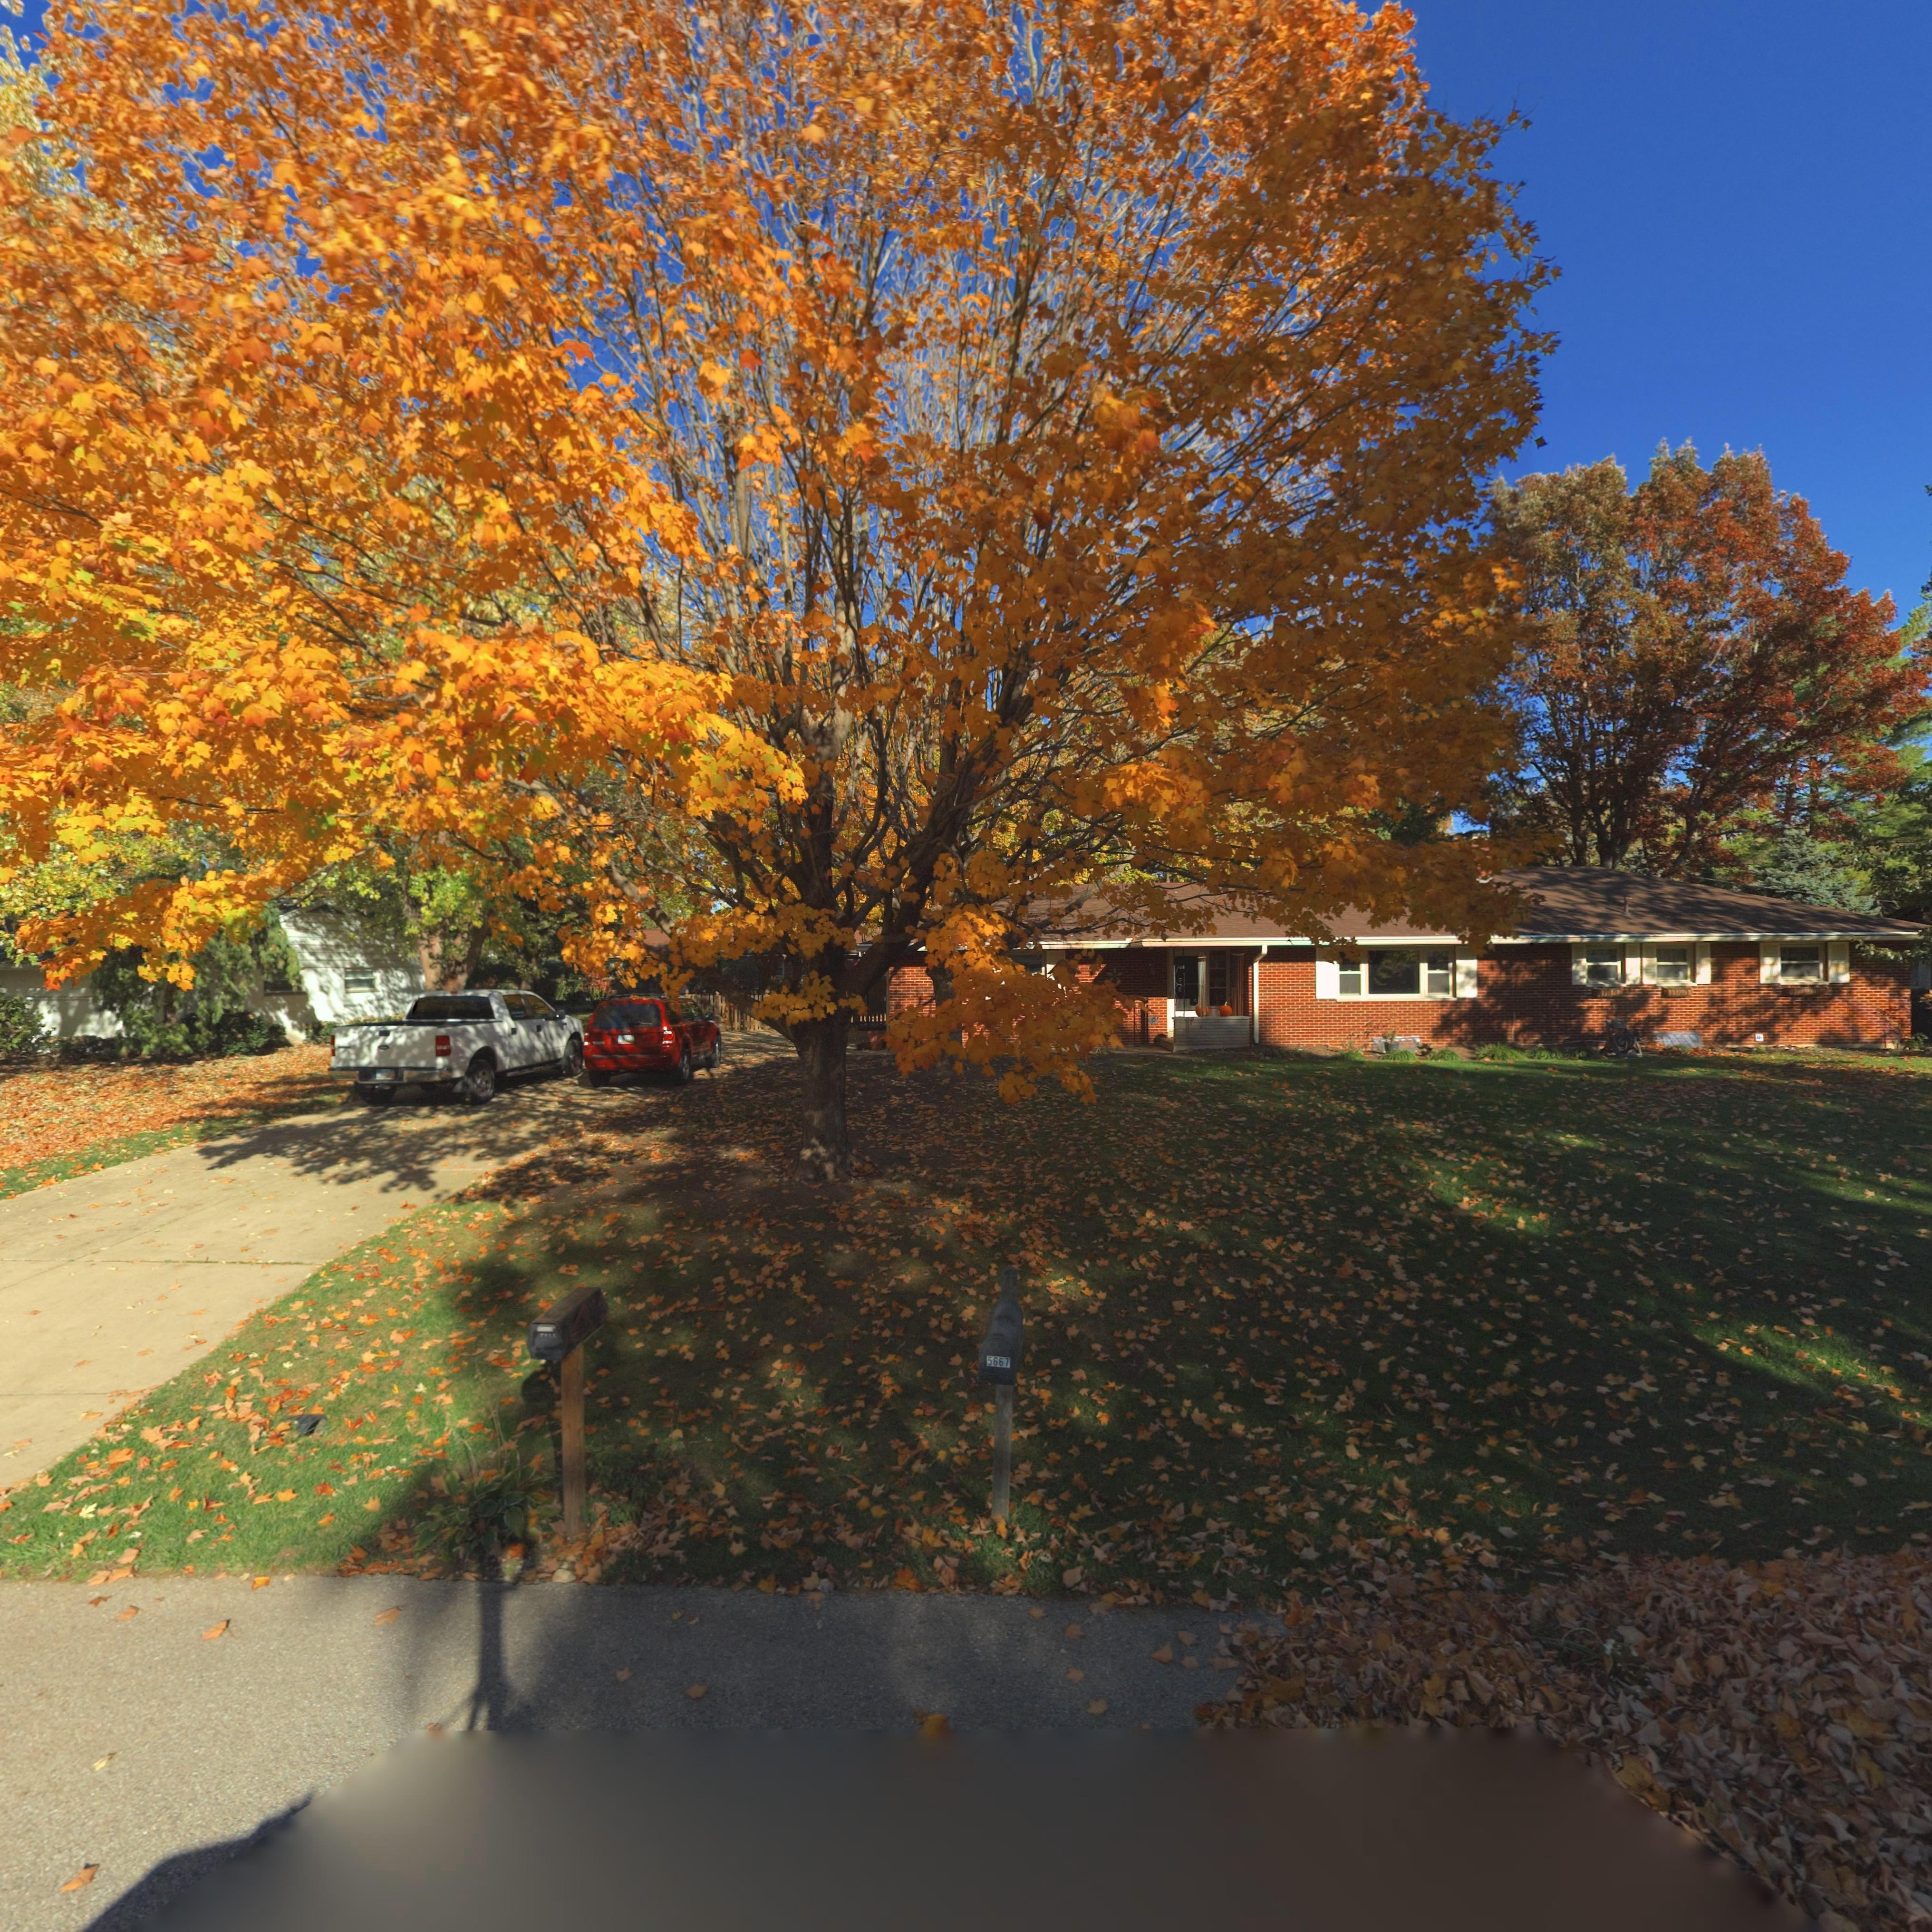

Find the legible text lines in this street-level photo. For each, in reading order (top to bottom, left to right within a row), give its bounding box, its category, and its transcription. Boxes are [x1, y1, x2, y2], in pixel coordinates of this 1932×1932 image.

[987, 1356, 1009, 1368] StreetNumber: 5667